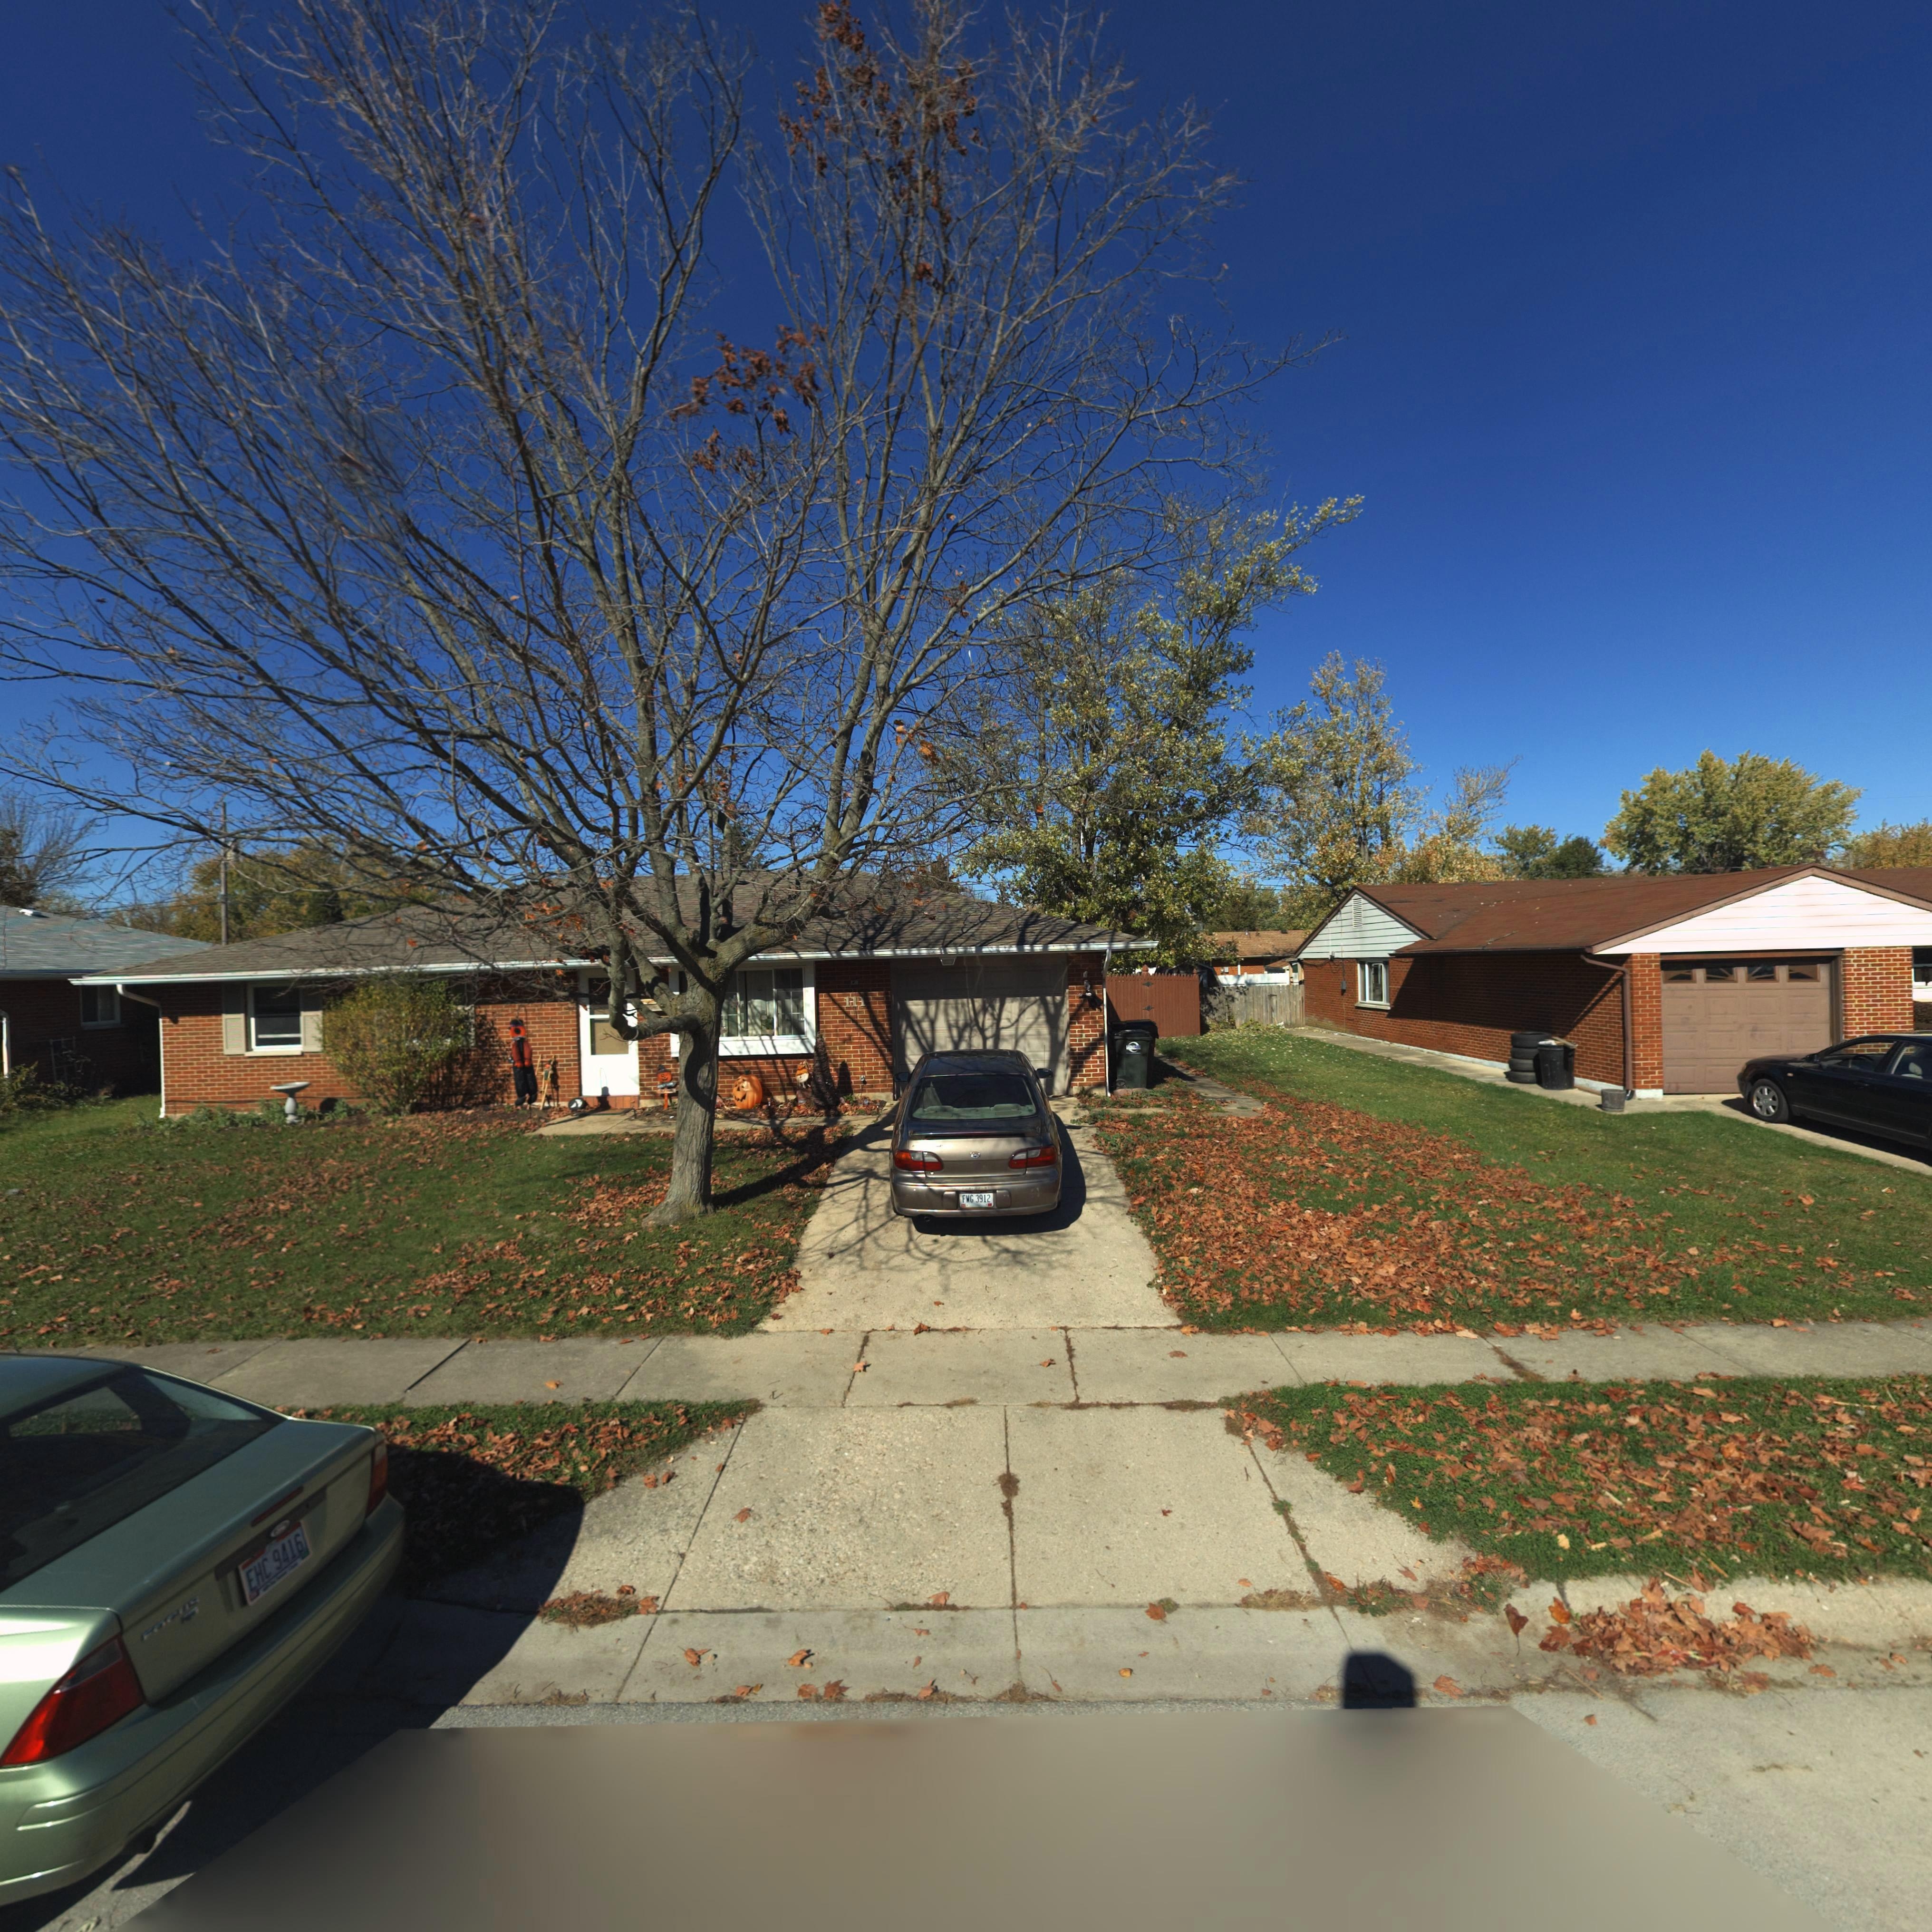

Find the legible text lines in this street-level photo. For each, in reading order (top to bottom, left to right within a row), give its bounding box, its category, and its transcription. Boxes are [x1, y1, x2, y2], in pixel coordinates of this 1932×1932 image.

[844, 995, 867, 1008] StreetNumber: 111